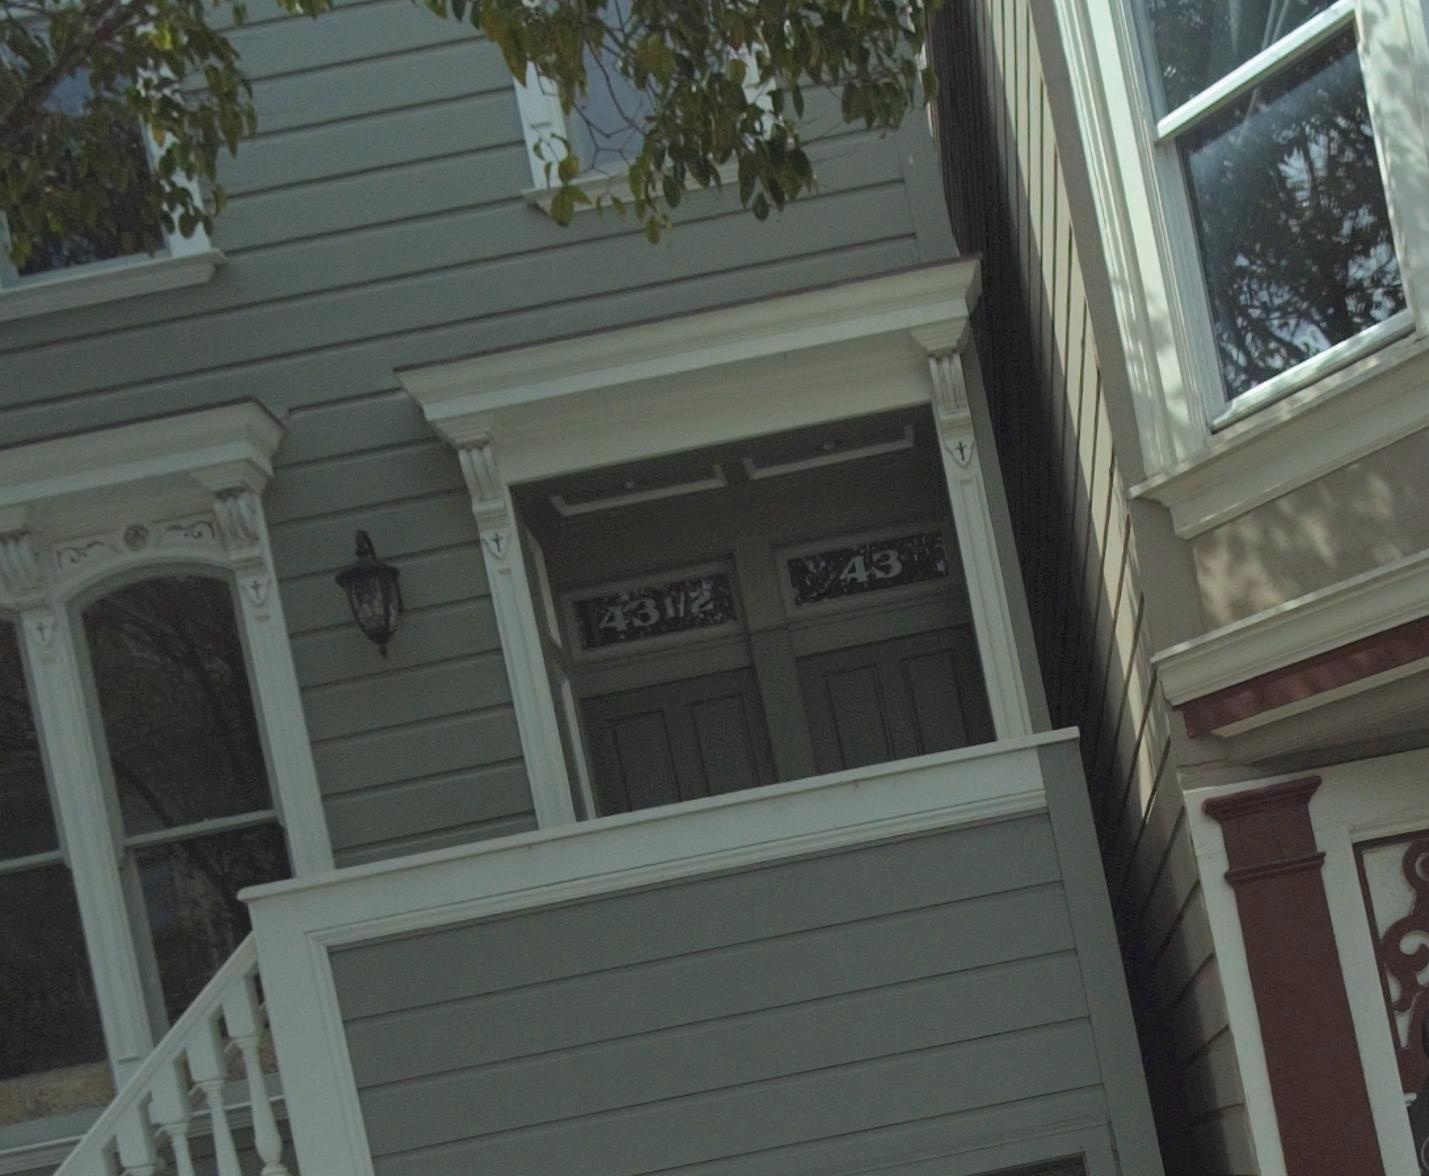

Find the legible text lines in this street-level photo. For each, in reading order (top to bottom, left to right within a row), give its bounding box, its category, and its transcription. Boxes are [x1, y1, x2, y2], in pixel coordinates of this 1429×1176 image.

[833, 545, 907, 587] StreetNumber: 43
[593, 583, 719, 636] StreetNumber: 43 1/2